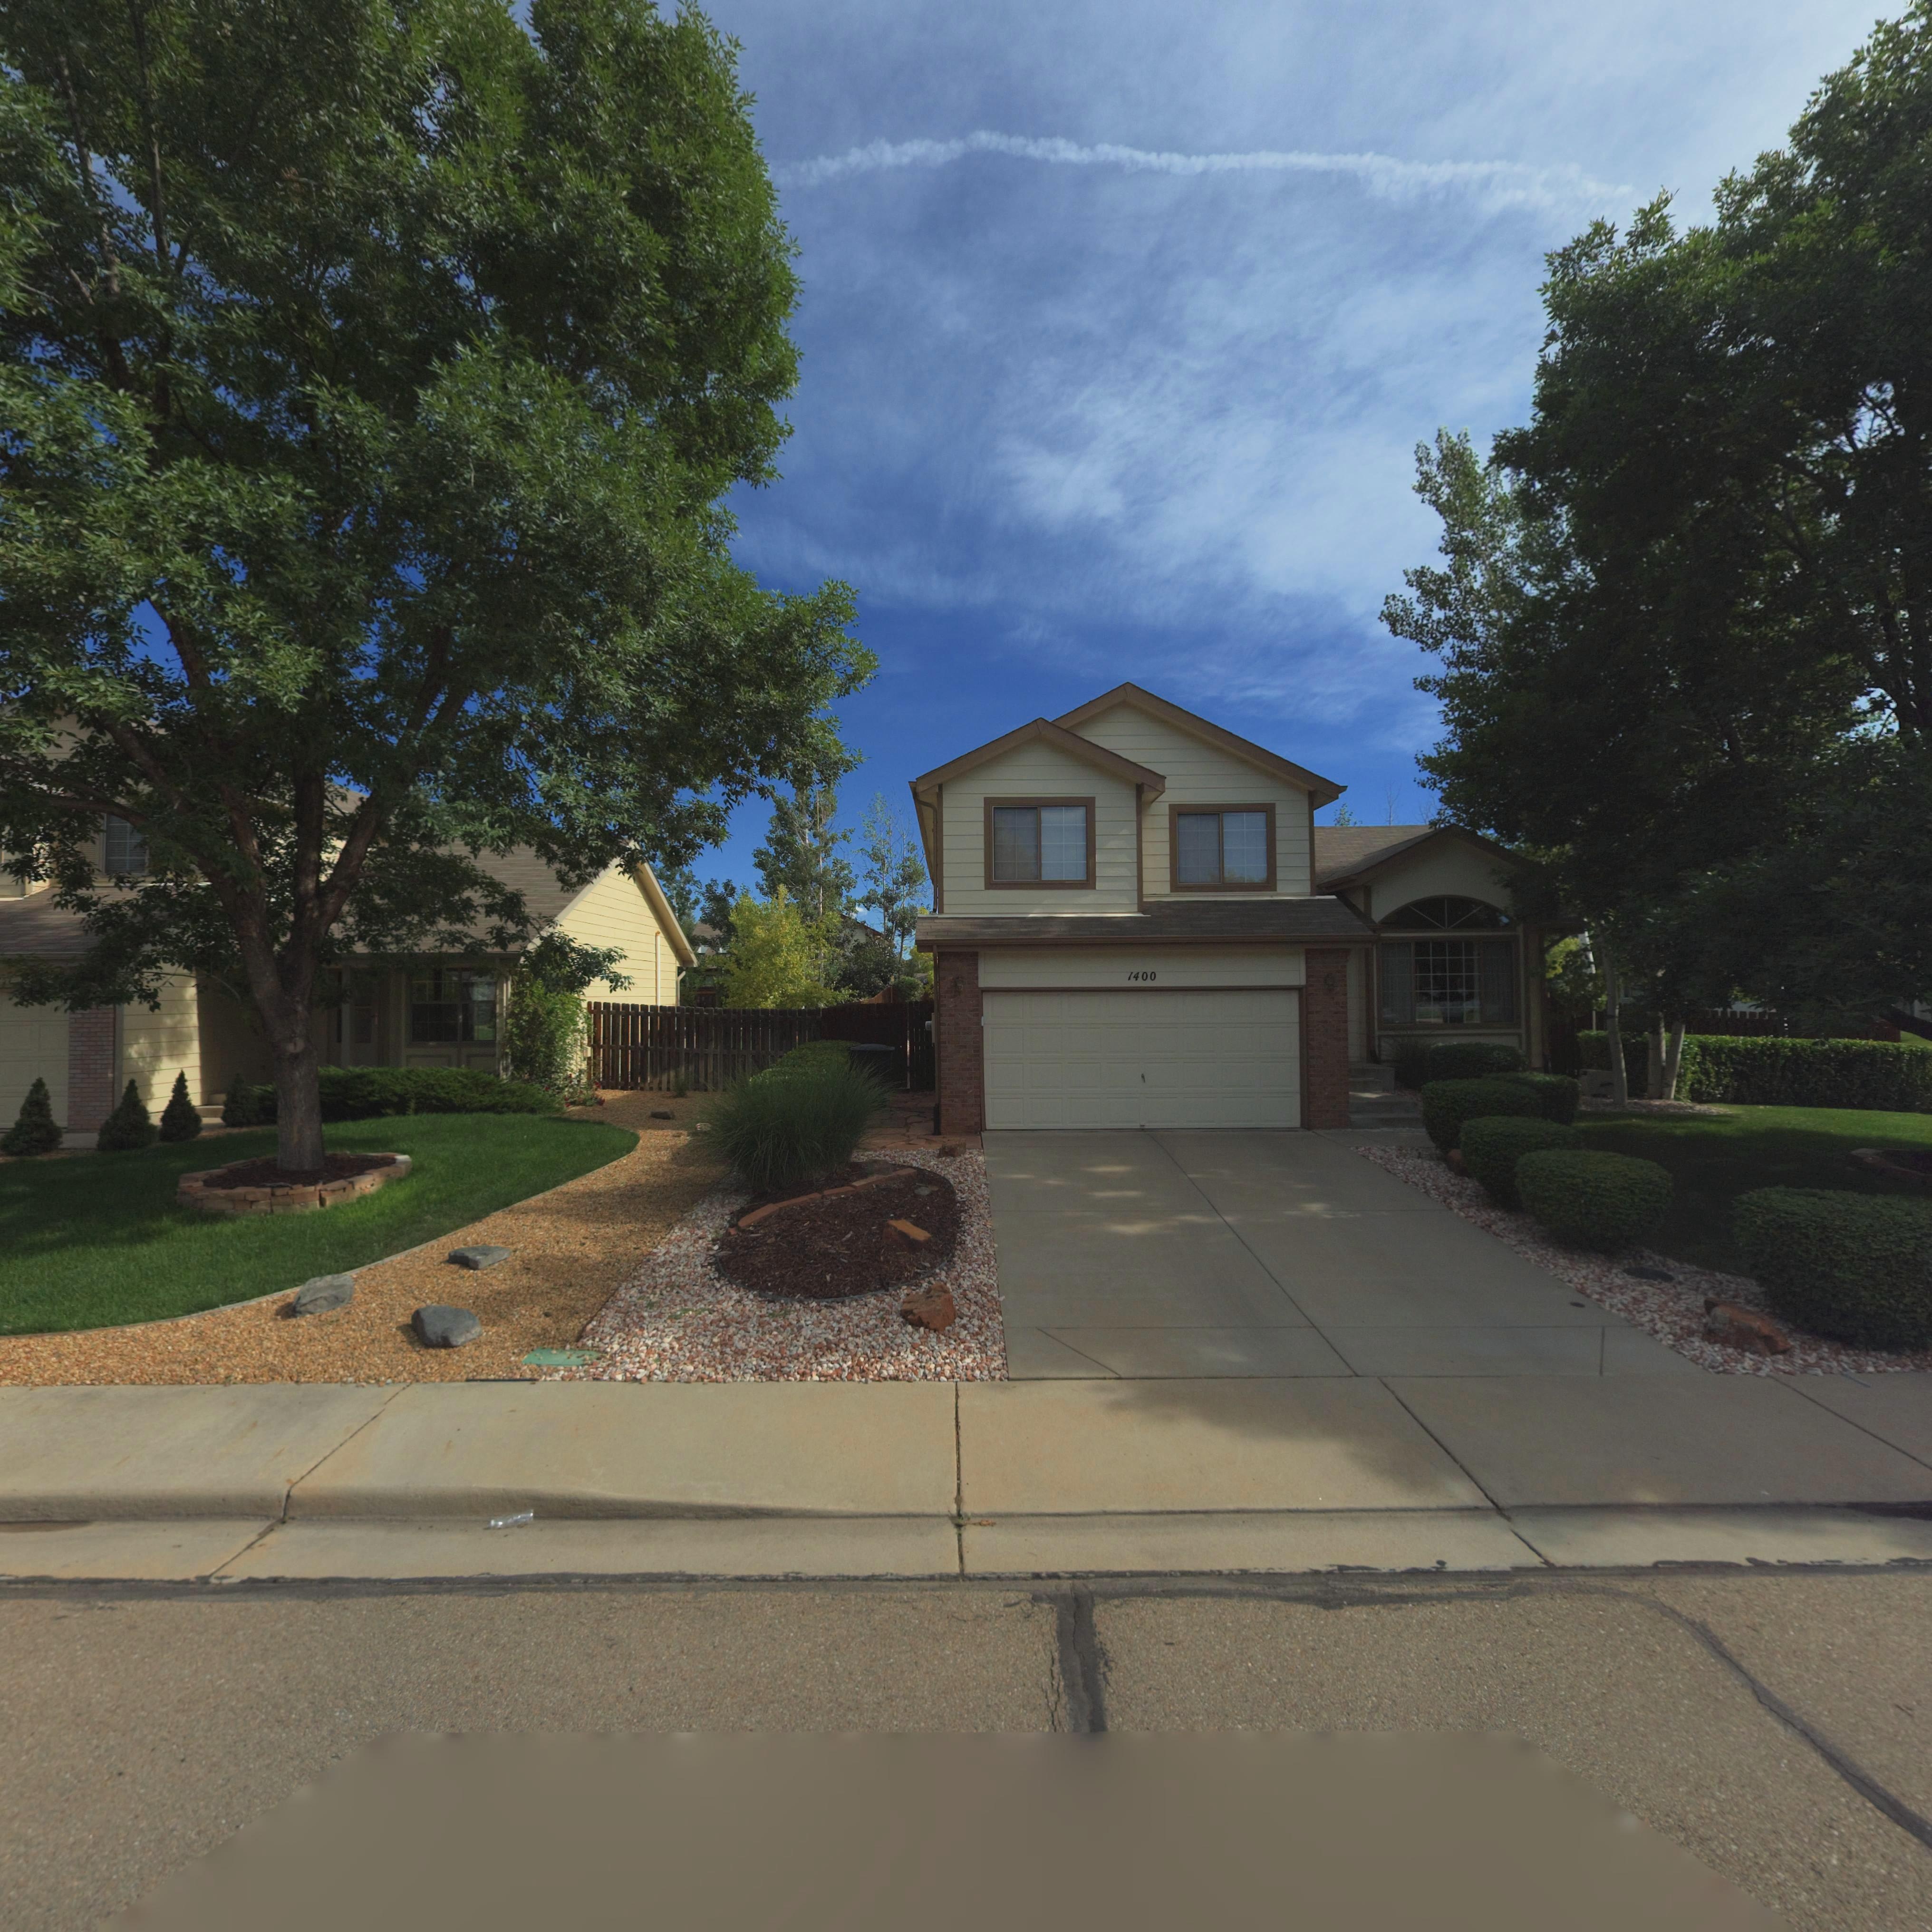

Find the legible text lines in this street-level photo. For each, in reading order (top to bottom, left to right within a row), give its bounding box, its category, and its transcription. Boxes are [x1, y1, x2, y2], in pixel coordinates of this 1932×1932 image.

[1125, 970, 1157, 981] StreetNumber: 1400